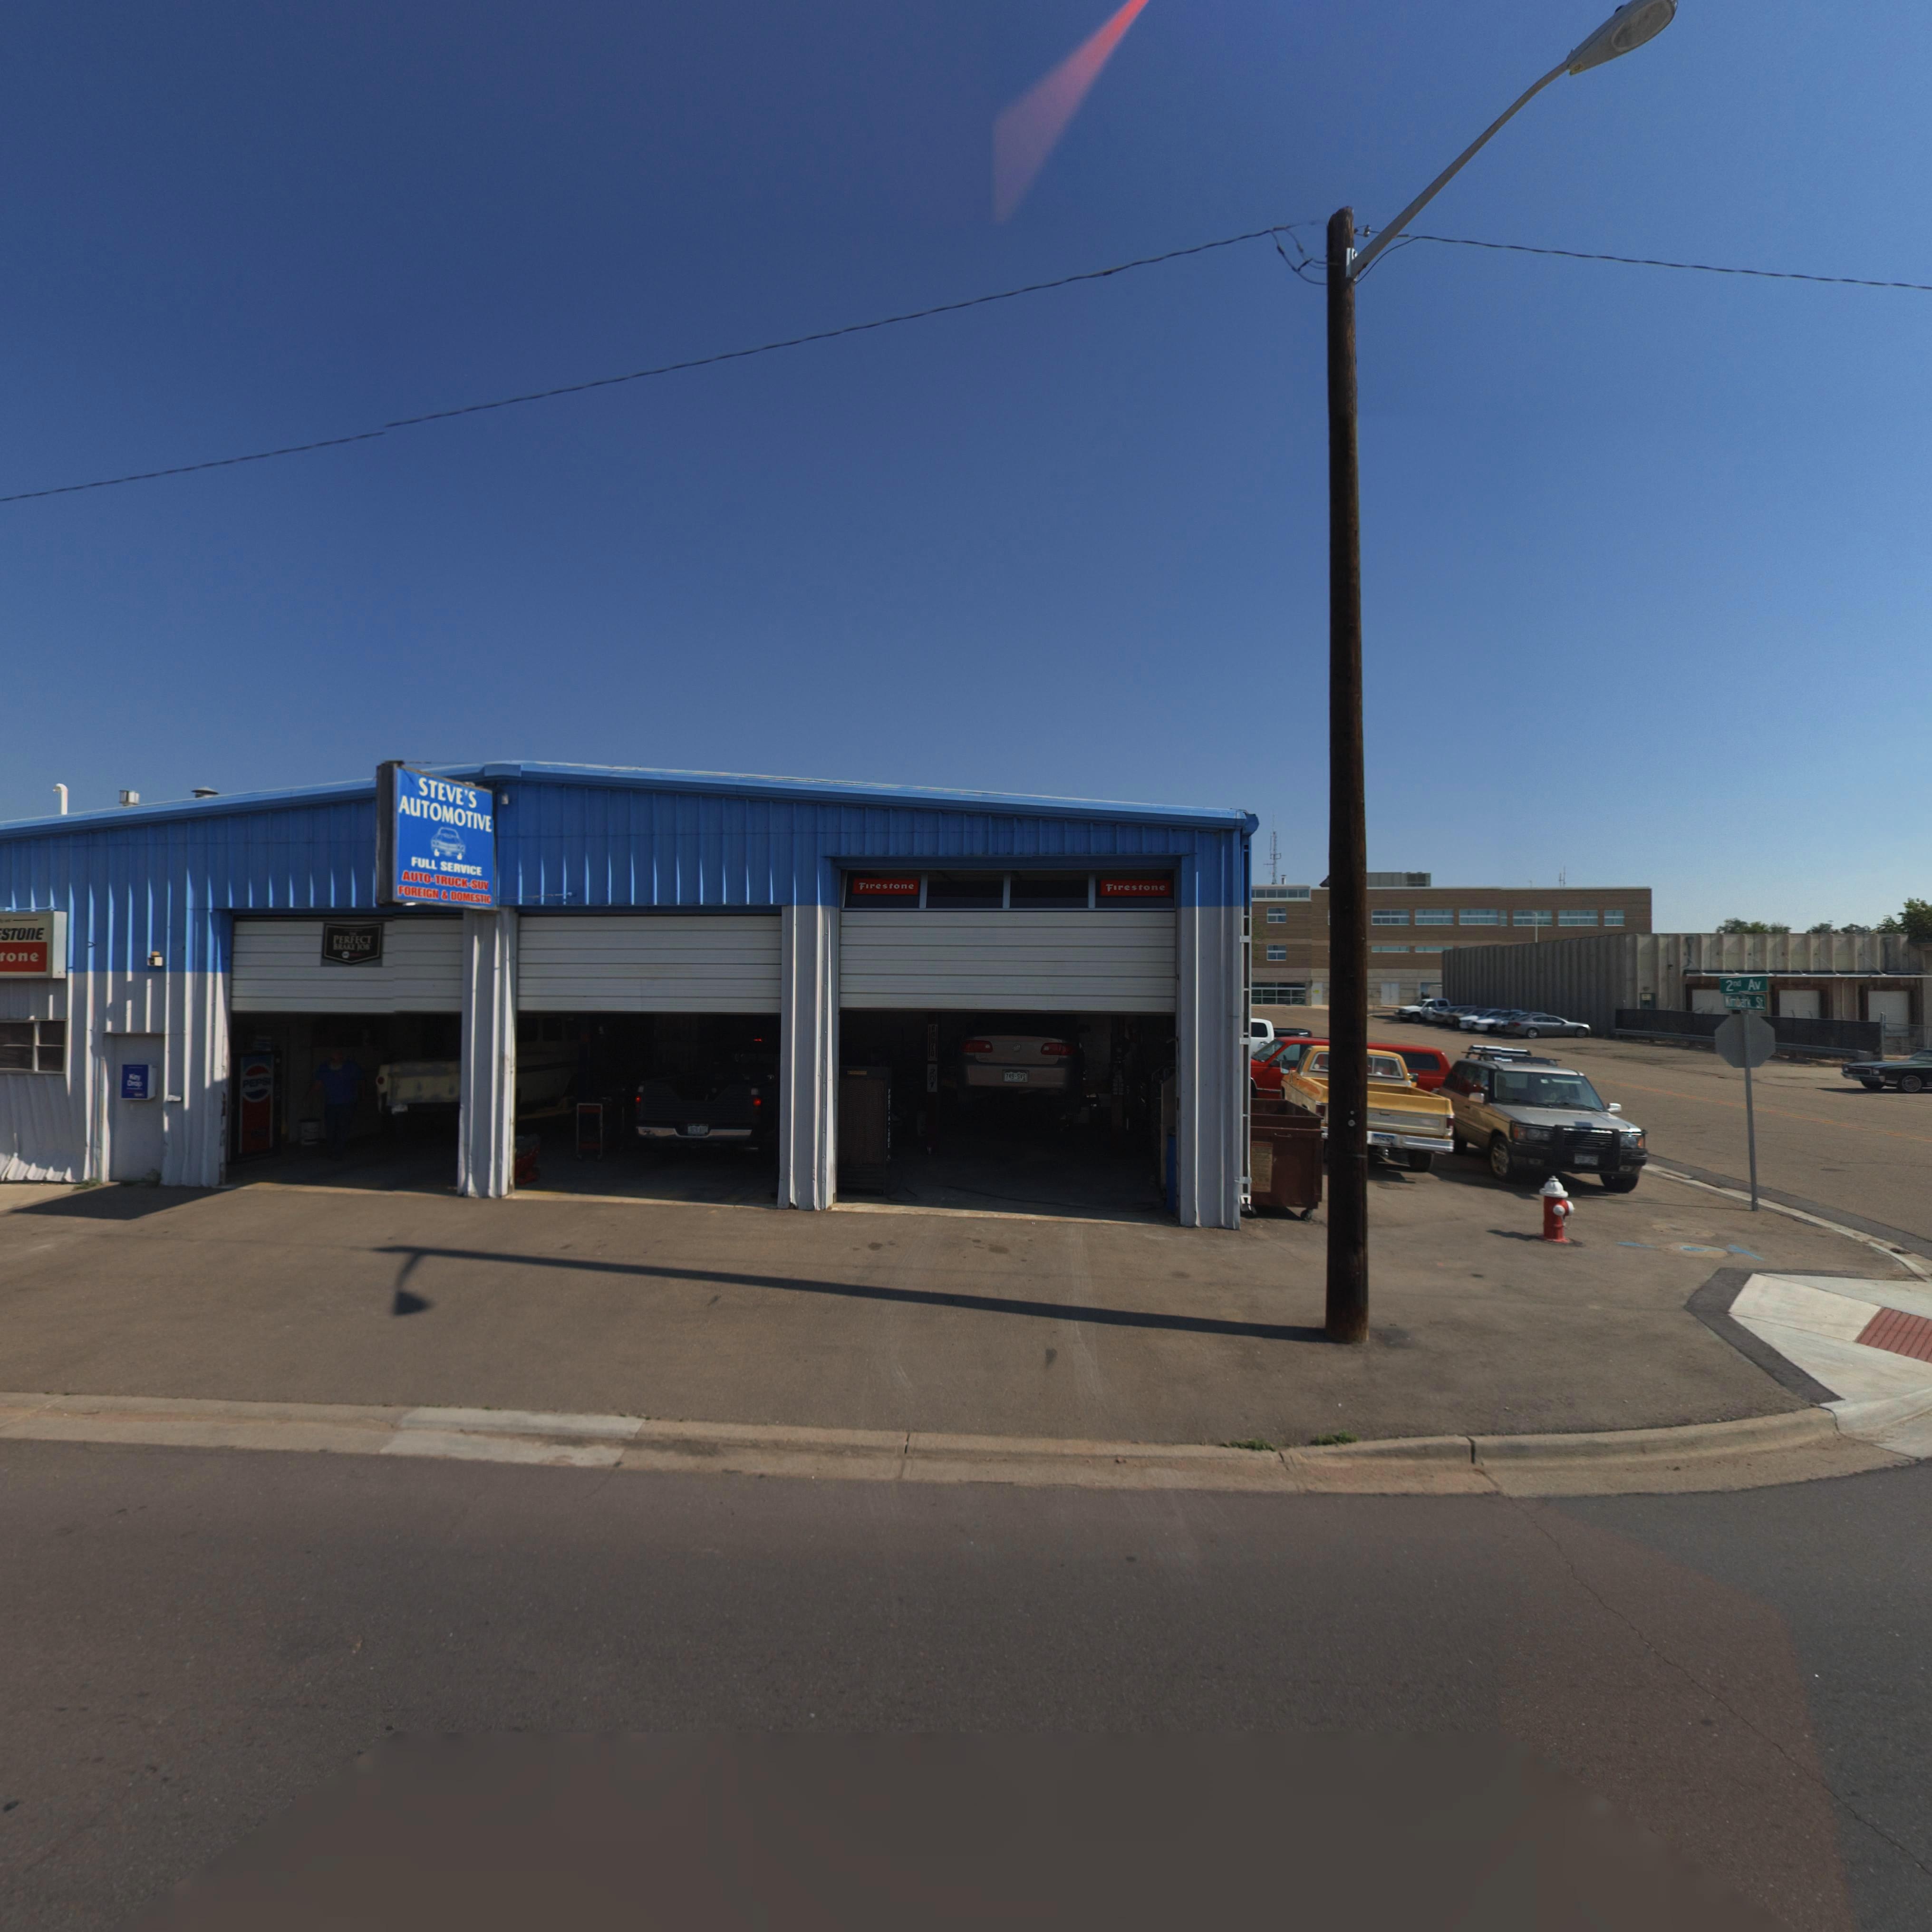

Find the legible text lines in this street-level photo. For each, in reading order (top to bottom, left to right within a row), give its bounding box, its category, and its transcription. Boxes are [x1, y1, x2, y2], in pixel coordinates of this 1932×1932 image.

[418, 777, 476, 809] BusinessName: STEVE'S
[397, 794, 492, 832] BusinessName: AUTOMOTIVE
[1724, 978, 1761, 991] StreetName: 2nd Av
[1724, 995, 1765, 1009] StreetName: Kimbark St